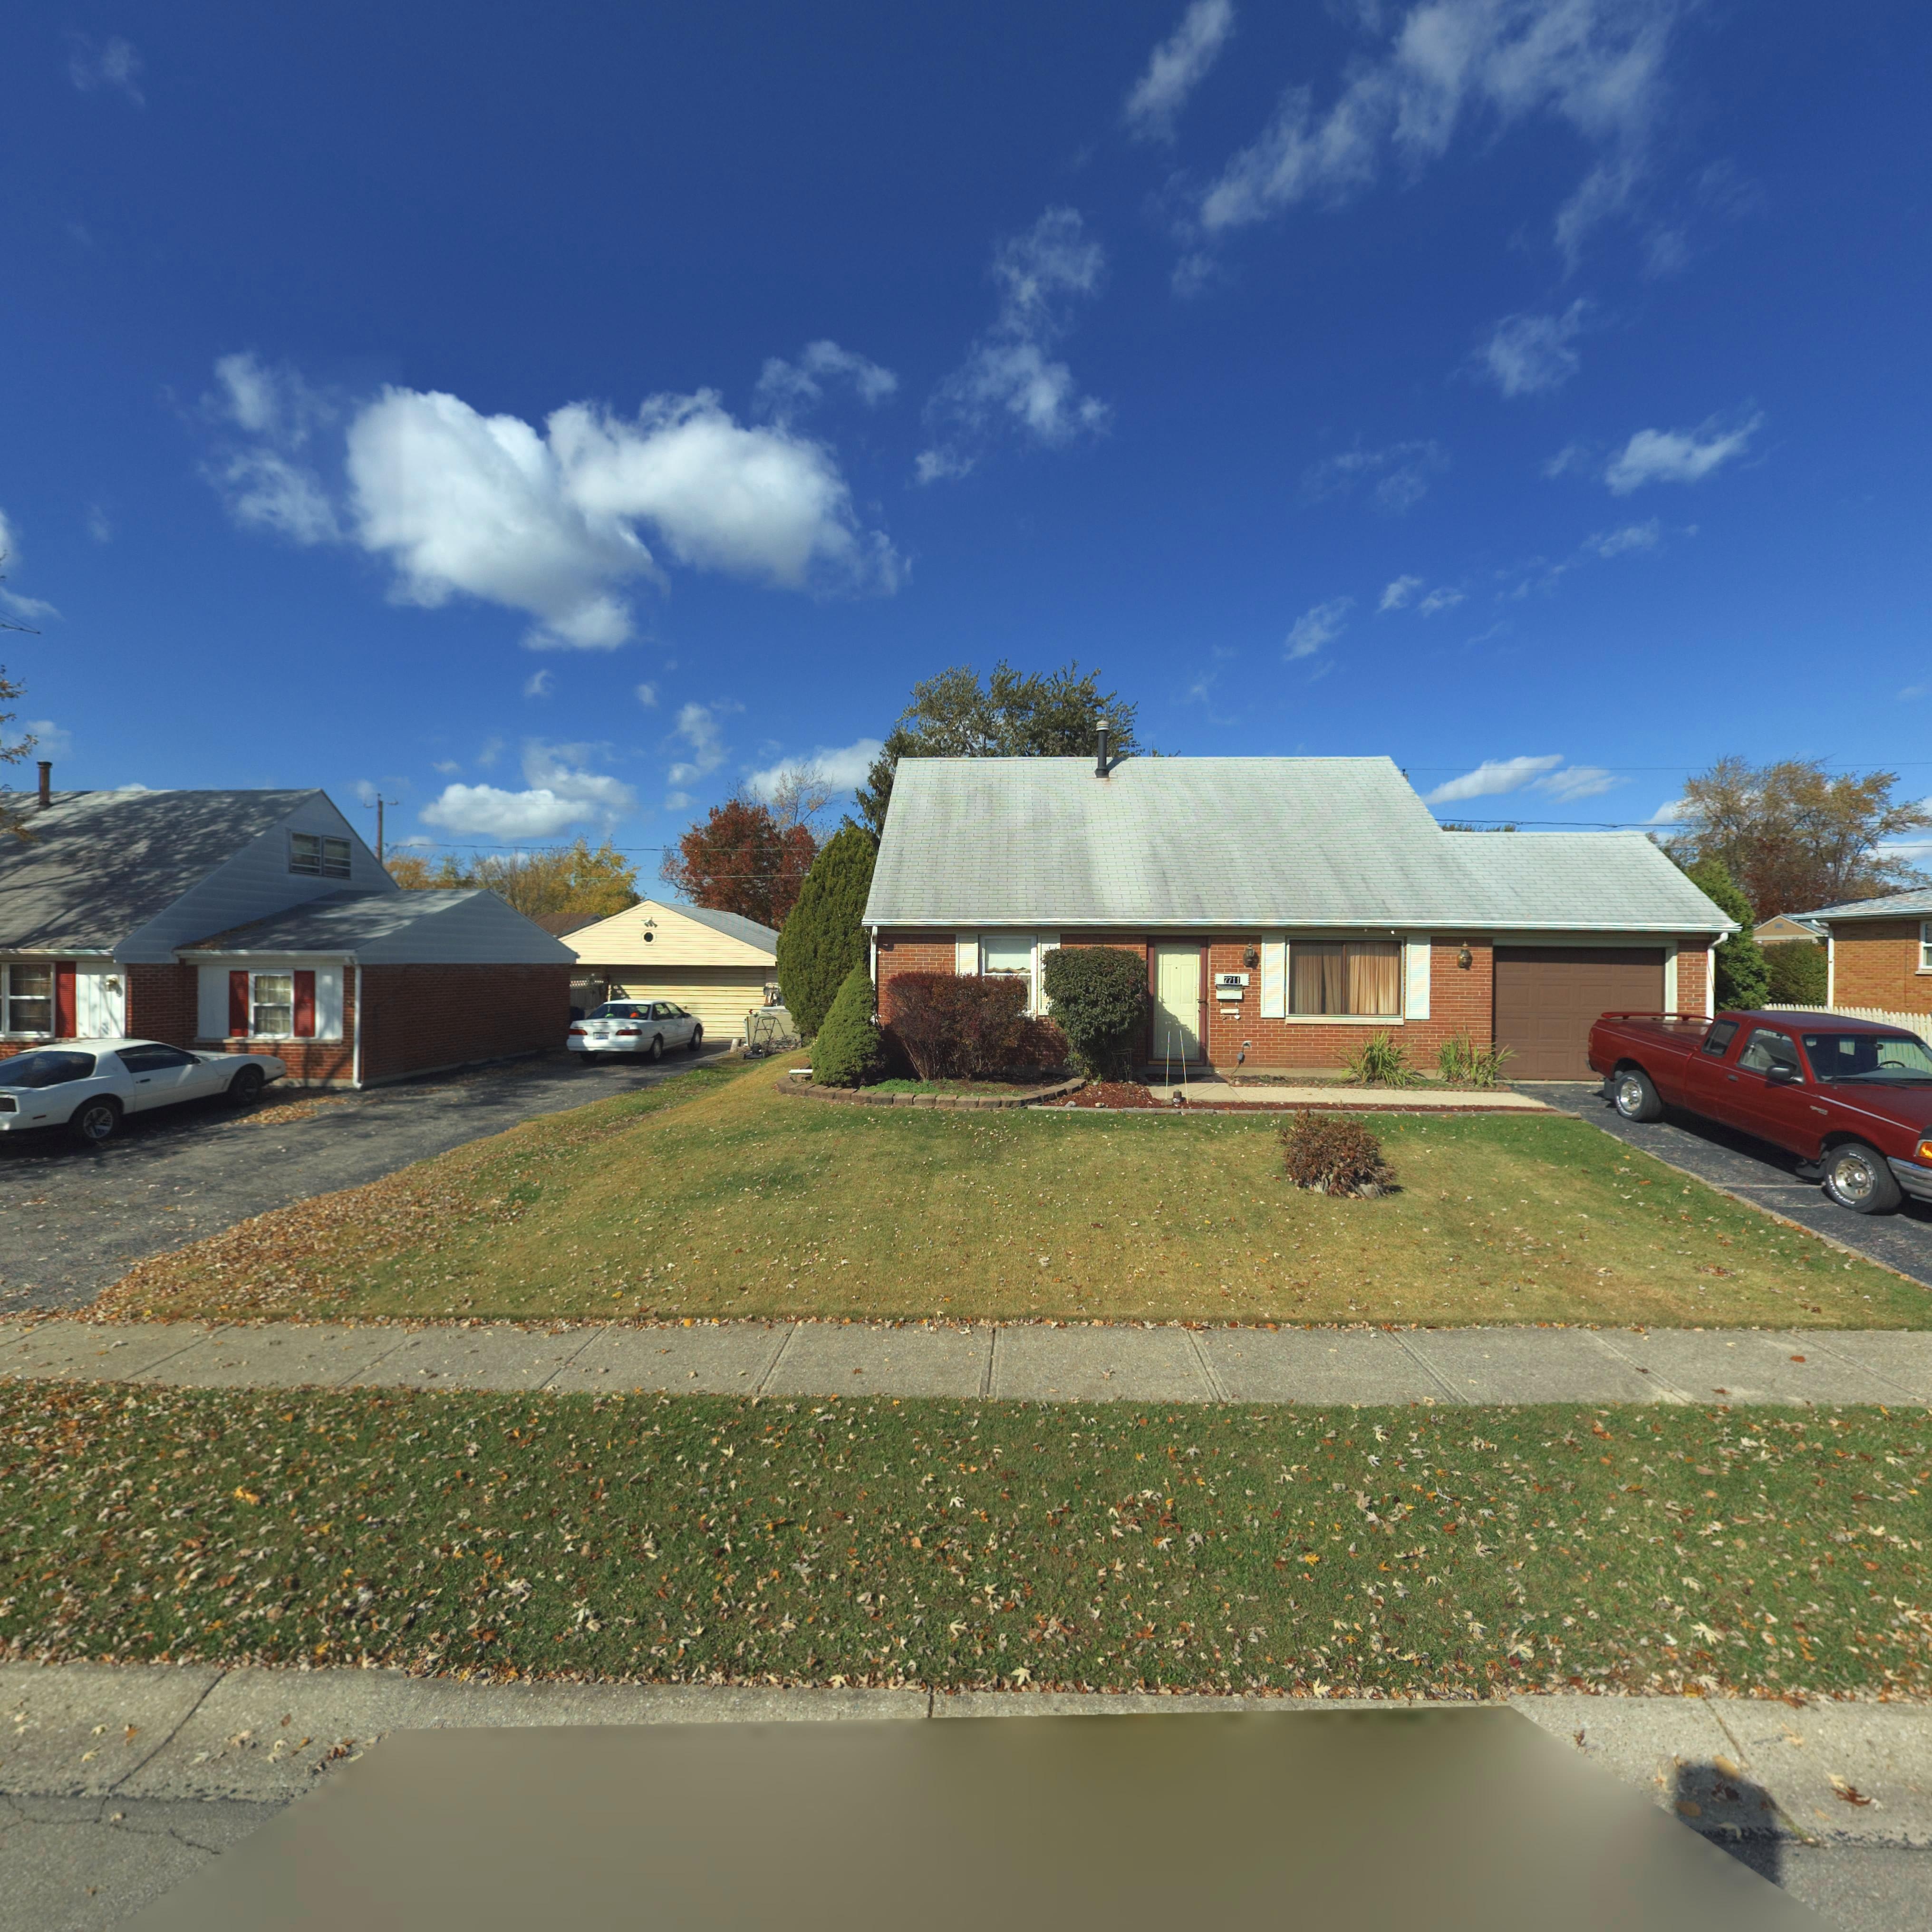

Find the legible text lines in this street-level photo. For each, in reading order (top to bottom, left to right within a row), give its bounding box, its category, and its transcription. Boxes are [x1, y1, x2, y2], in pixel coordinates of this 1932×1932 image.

[1224, 976, 1240, 984] StreetNumber: 7711